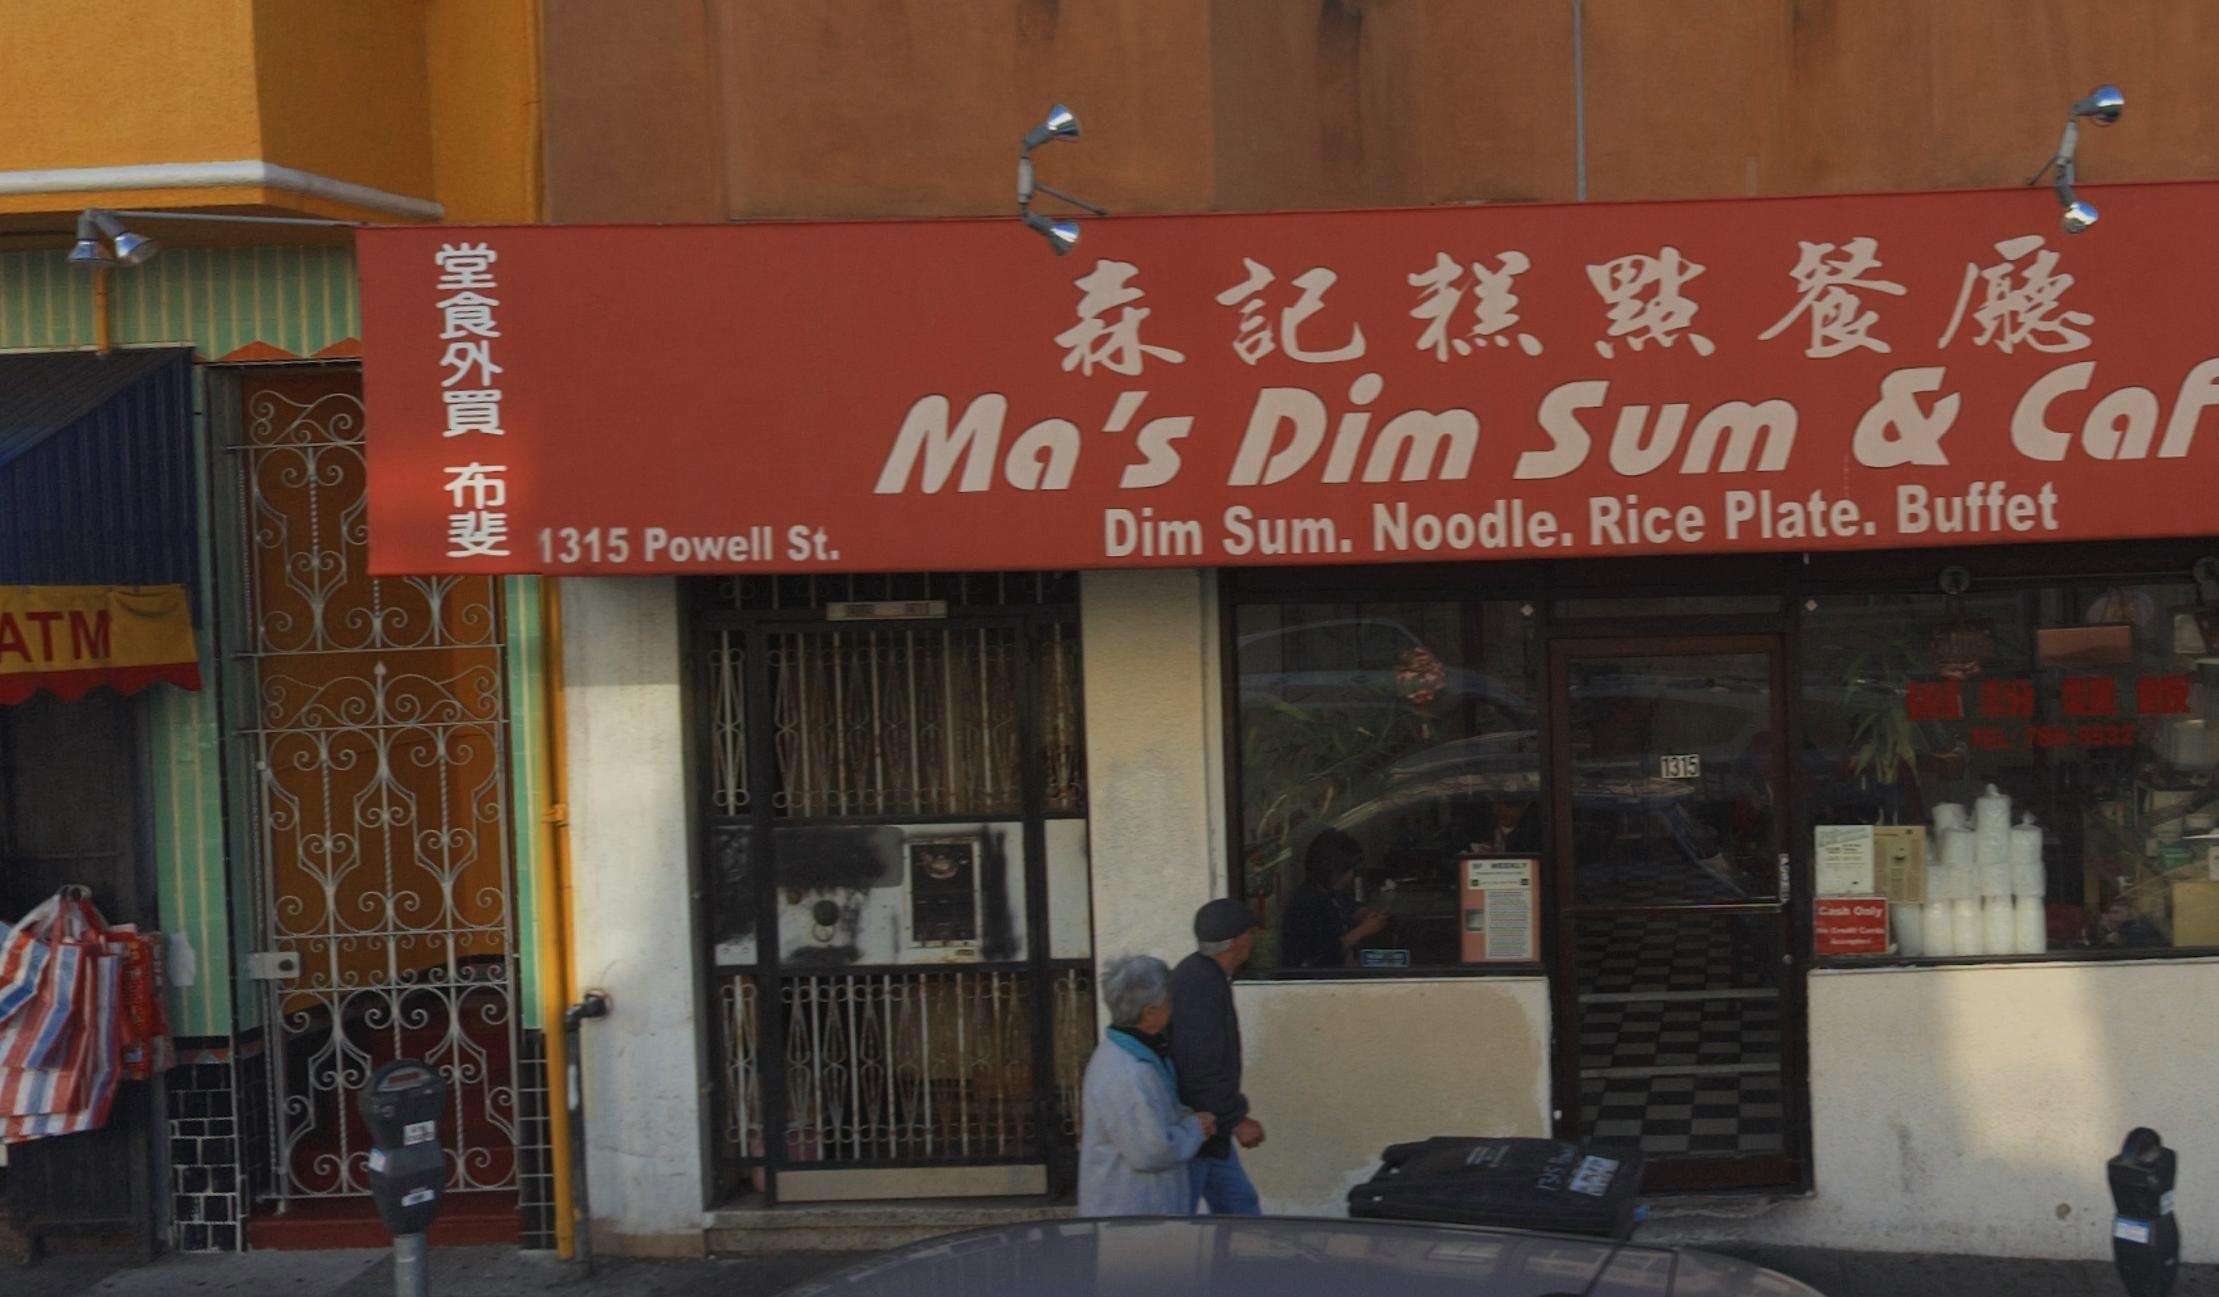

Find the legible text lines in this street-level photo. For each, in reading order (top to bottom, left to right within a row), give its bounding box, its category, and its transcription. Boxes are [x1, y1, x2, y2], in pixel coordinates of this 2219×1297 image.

[867, 355, 2166, 497] BusinessName: Ma's Dim Sum & Ca
[1099, 478, 2066, 559] None: Dim Sum. Noodle. Rice Plate. Buffet
[536, 526, 632, 565] StreetNumber: 1315
[642, 523, 829, 563] StreetName: Powell St
[23, 607, 114, 663] None: TM
[1967, 721, 2137, 751] None: TEL:78*-3532
[1661, 755, 1699, 778] StreetNumber: 1315
[1817, 903, 1884, 919] None: Cash Only